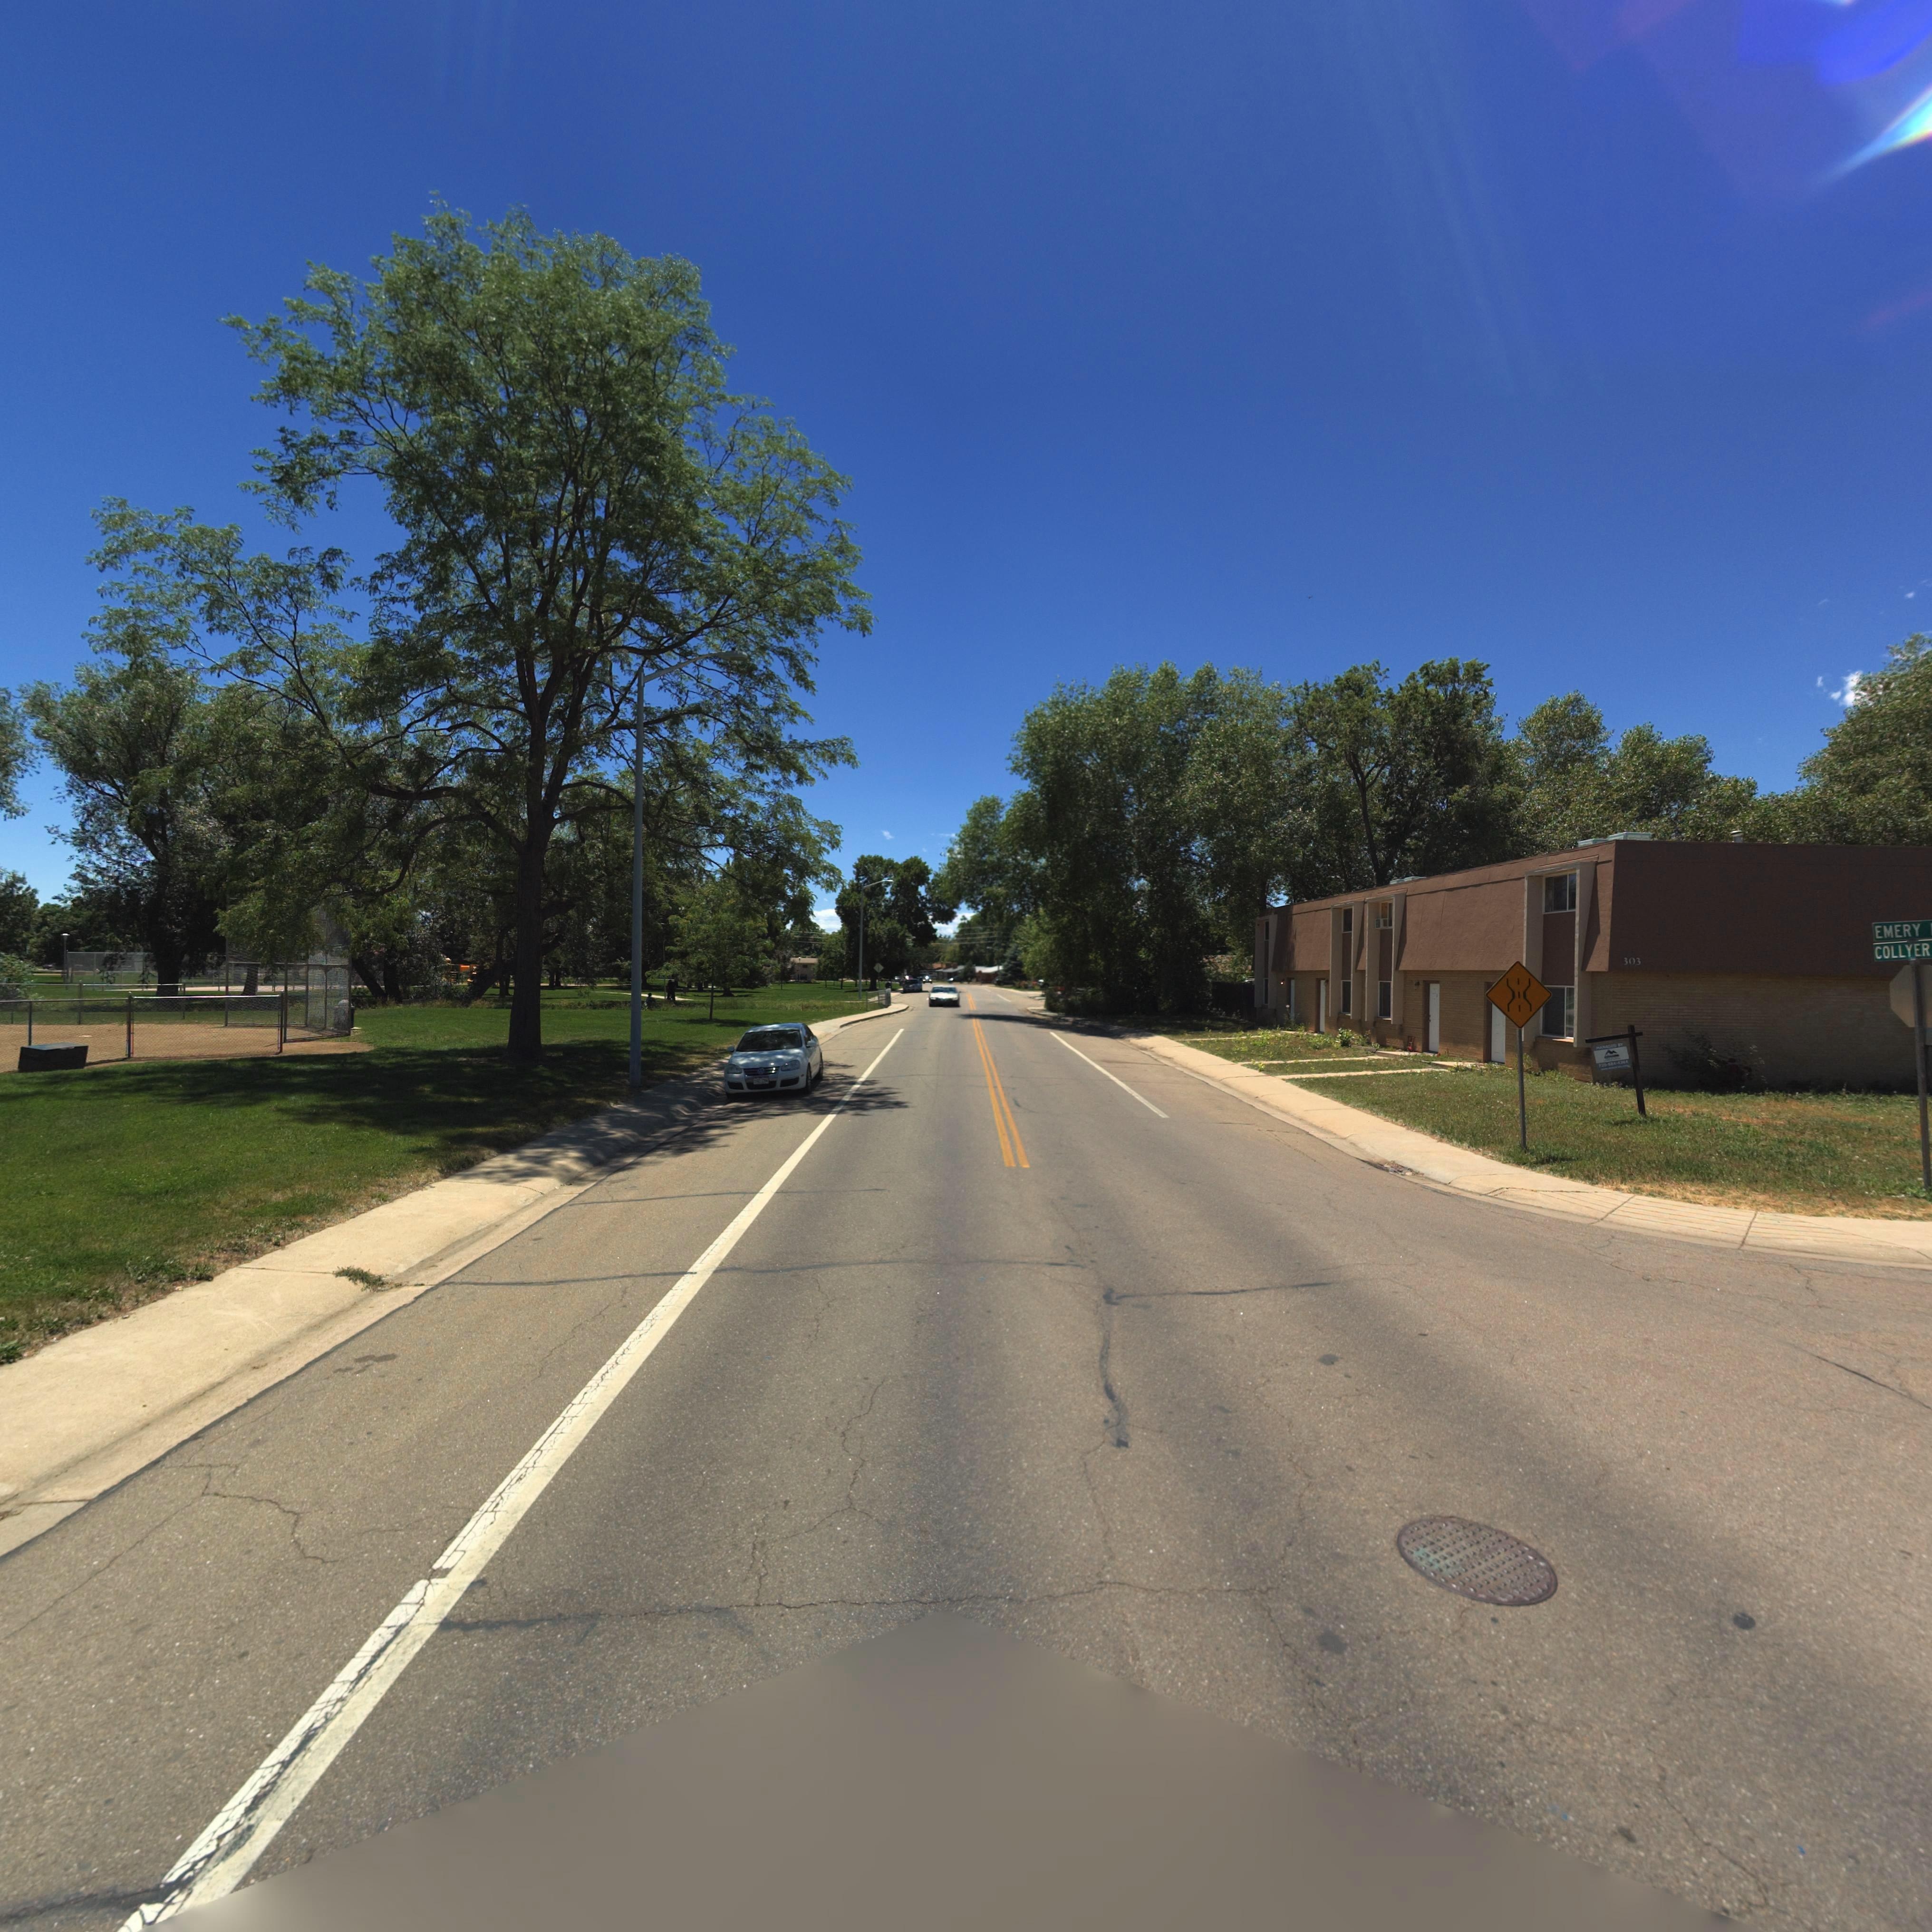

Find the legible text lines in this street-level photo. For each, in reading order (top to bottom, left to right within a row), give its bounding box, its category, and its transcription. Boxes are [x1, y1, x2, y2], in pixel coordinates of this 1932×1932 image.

[1874, 923, 1921, 938] StreetName: EMERY
[1874, 942, 1931, 960] StreetName: COLLYER
[1623, 957, 1641, 966] StreetNumber: 303